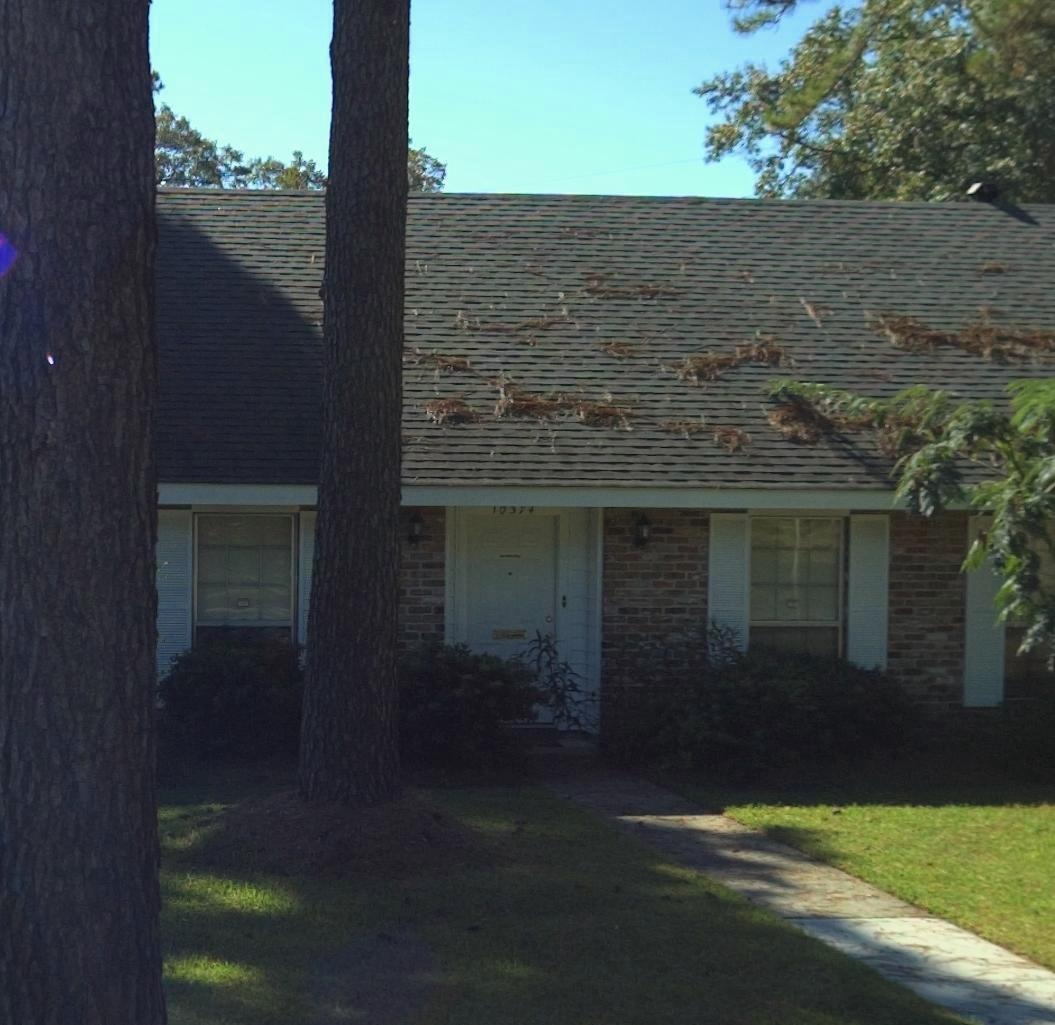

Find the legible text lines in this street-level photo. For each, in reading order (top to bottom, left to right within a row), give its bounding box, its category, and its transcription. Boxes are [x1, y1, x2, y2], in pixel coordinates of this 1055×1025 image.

[490, 504, 537, 516] StreetNumber: 10374